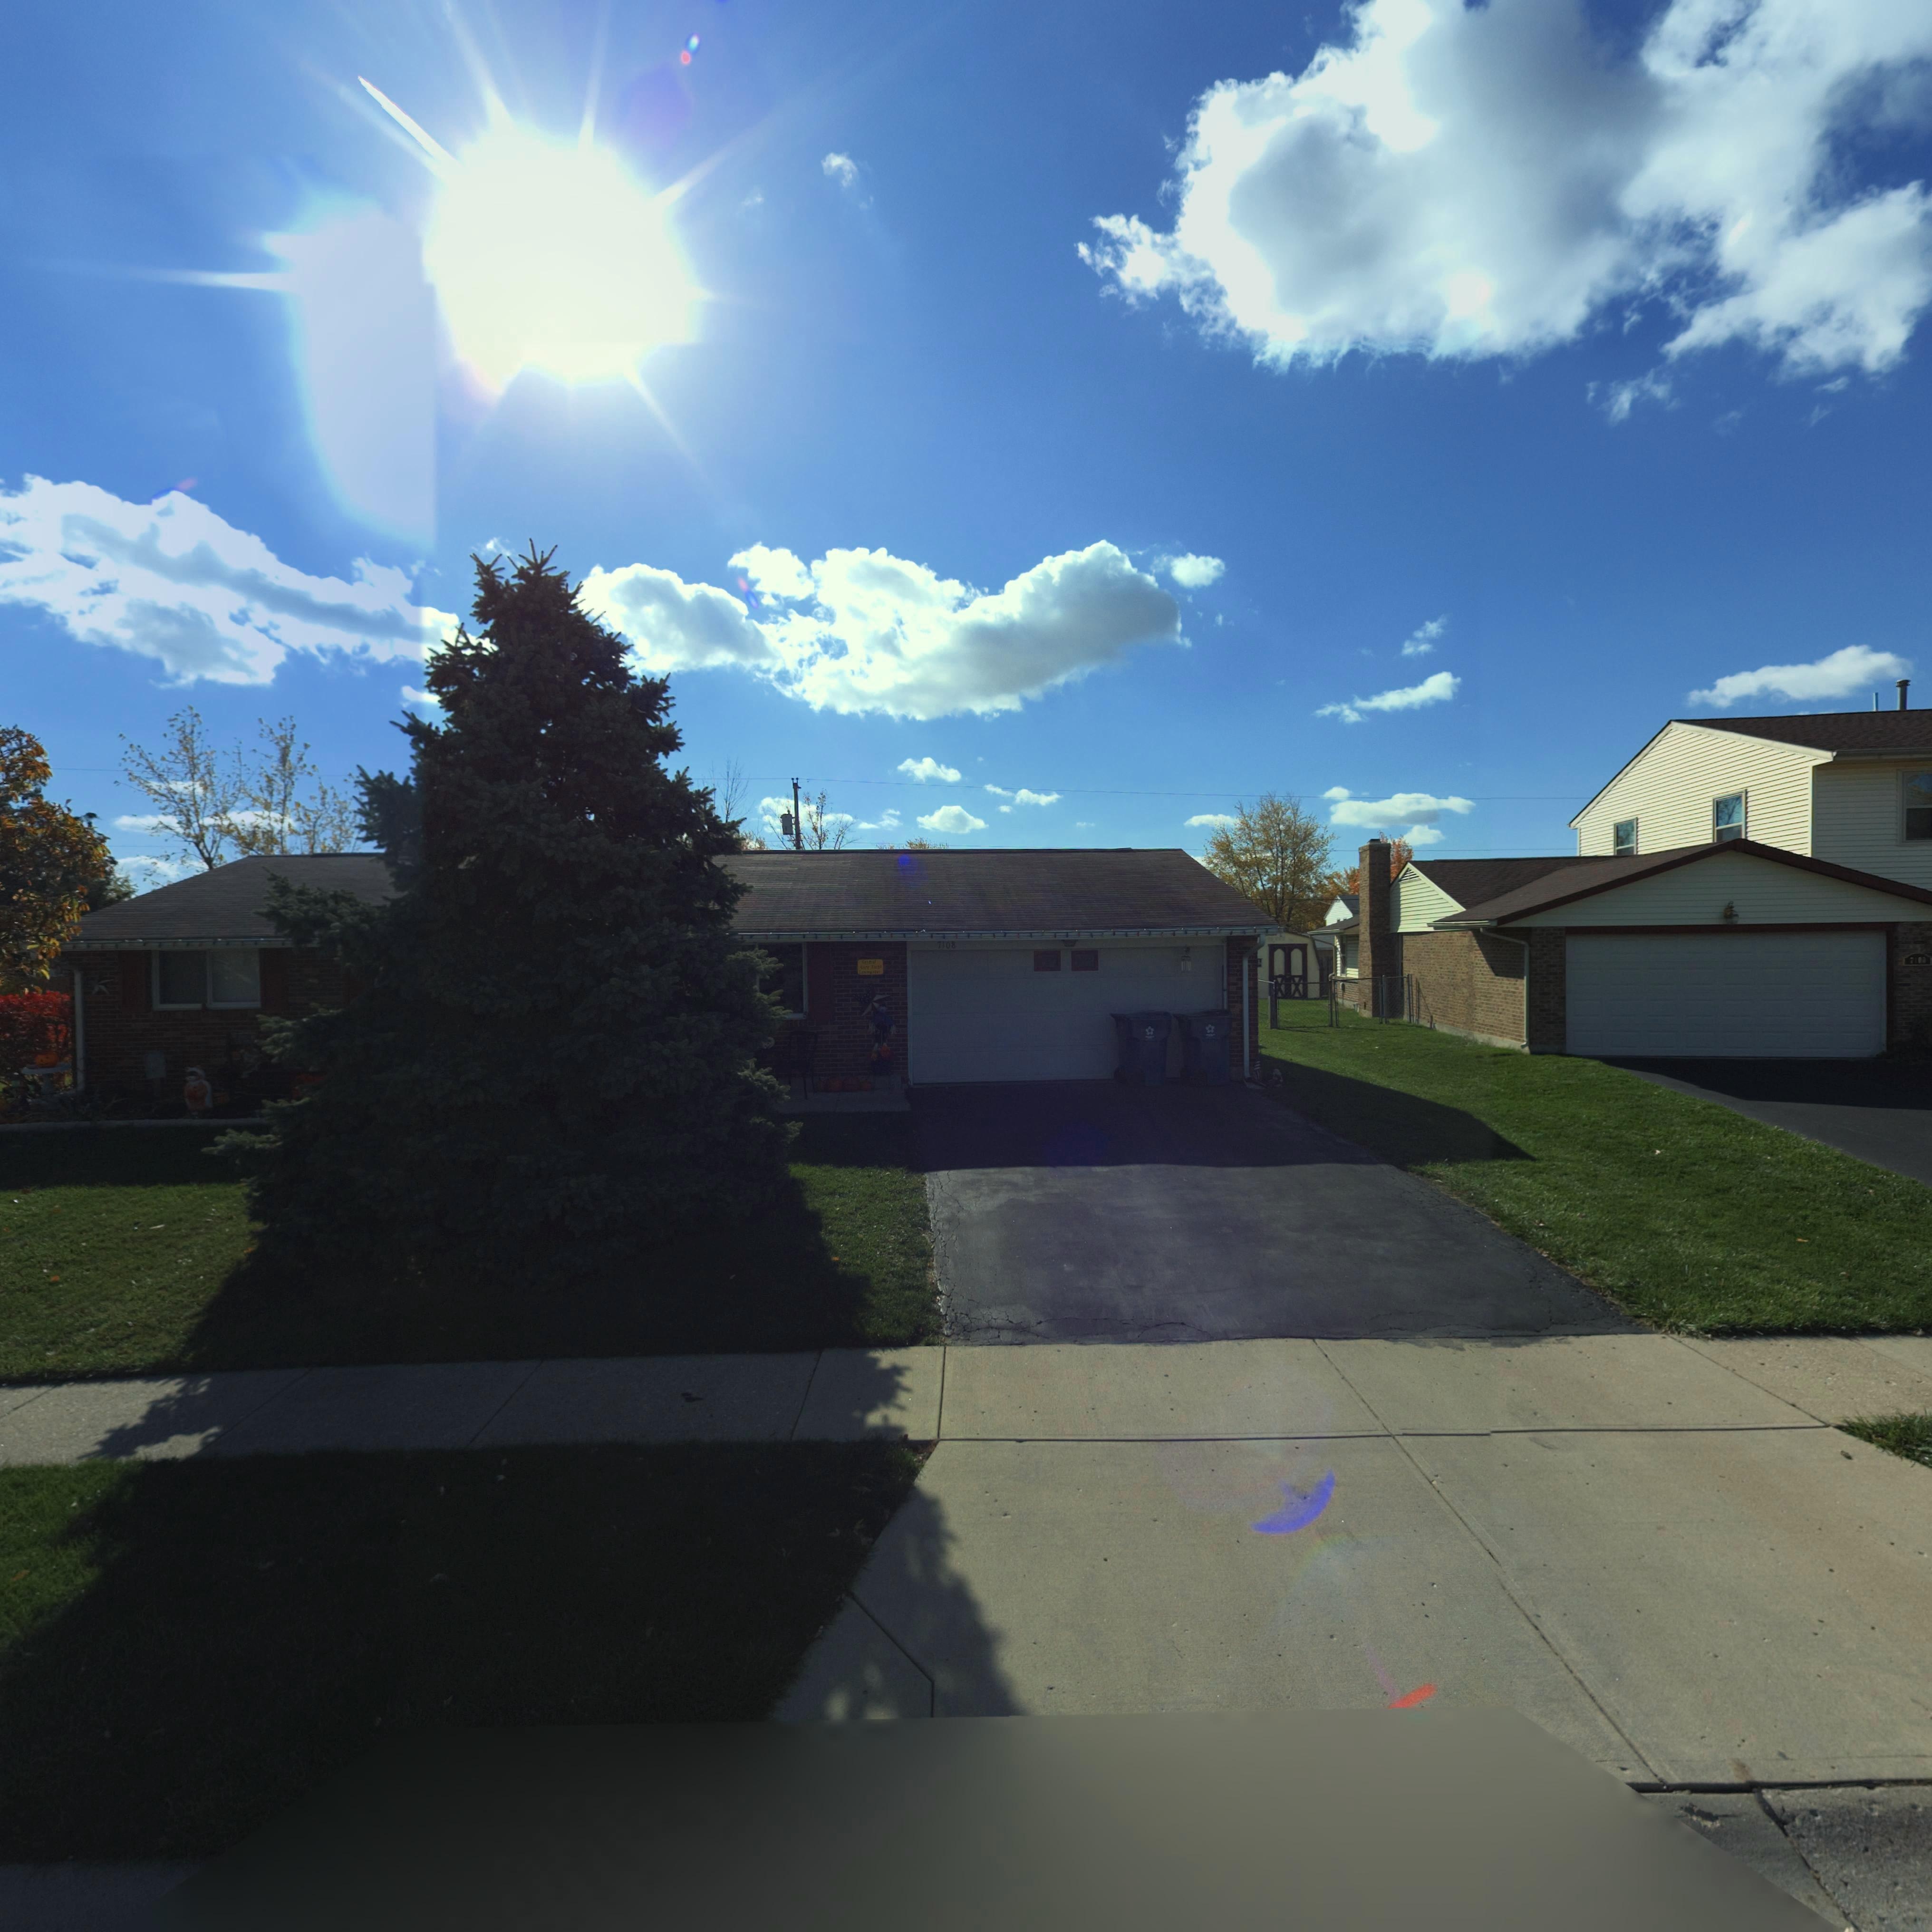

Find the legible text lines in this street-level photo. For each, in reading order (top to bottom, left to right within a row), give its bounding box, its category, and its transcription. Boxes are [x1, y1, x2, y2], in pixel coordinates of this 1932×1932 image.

[936, 940, 956, 951] StreetNumber: 7108
[1909, 956, 1927, 965] StreetNumber: 7***